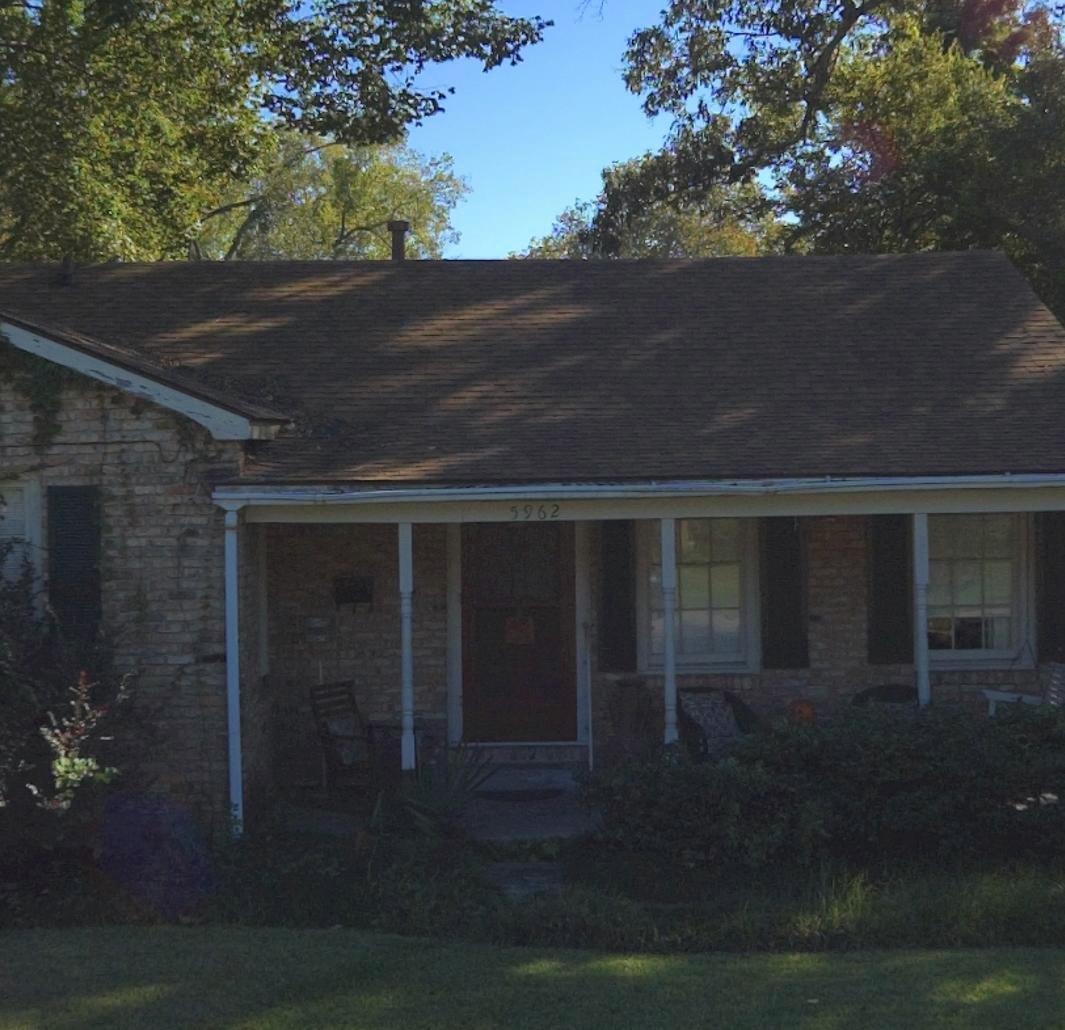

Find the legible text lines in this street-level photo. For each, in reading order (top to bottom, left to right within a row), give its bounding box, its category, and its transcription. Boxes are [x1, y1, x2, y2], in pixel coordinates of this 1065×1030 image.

[509, 503, 561, 521] StreetNumber: 5962